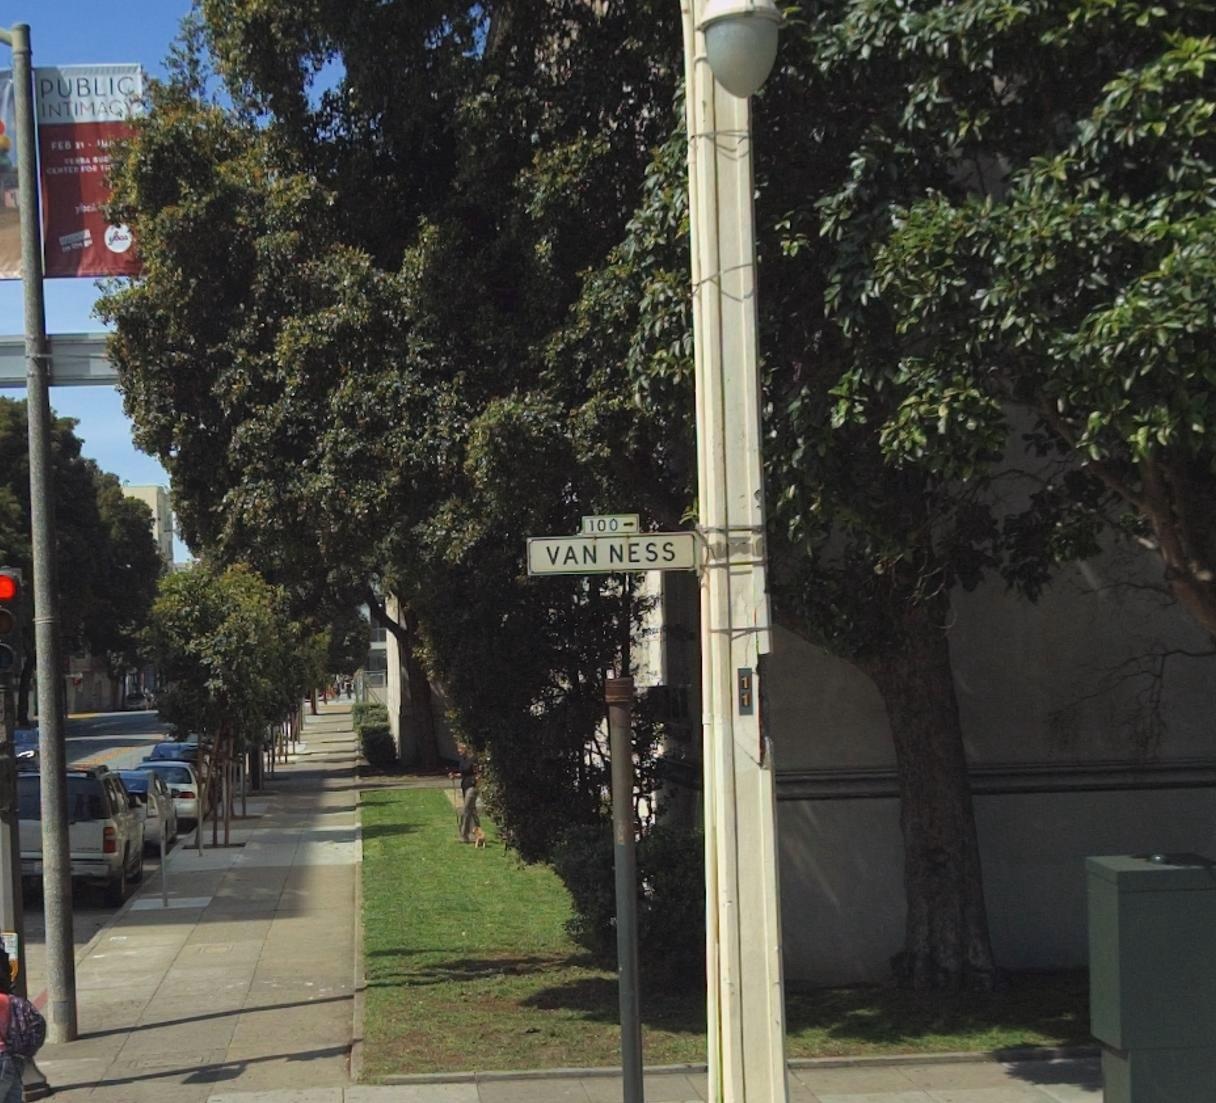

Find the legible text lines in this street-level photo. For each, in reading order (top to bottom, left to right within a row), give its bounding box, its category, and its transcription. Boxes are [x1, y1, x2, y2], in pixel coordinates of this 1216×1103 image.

[38, 76, 137, 100] None: PUBLIC
[39, 99, 123, 118] None: INTIMAC
[48, 139, 72, 152] None: FEB
[587, 518, 636, 533] StreetNumberRange: 100->
[542, 541, 680, 566] StreetName: VAN NESS
[739, 672, 751, 709] None: 11